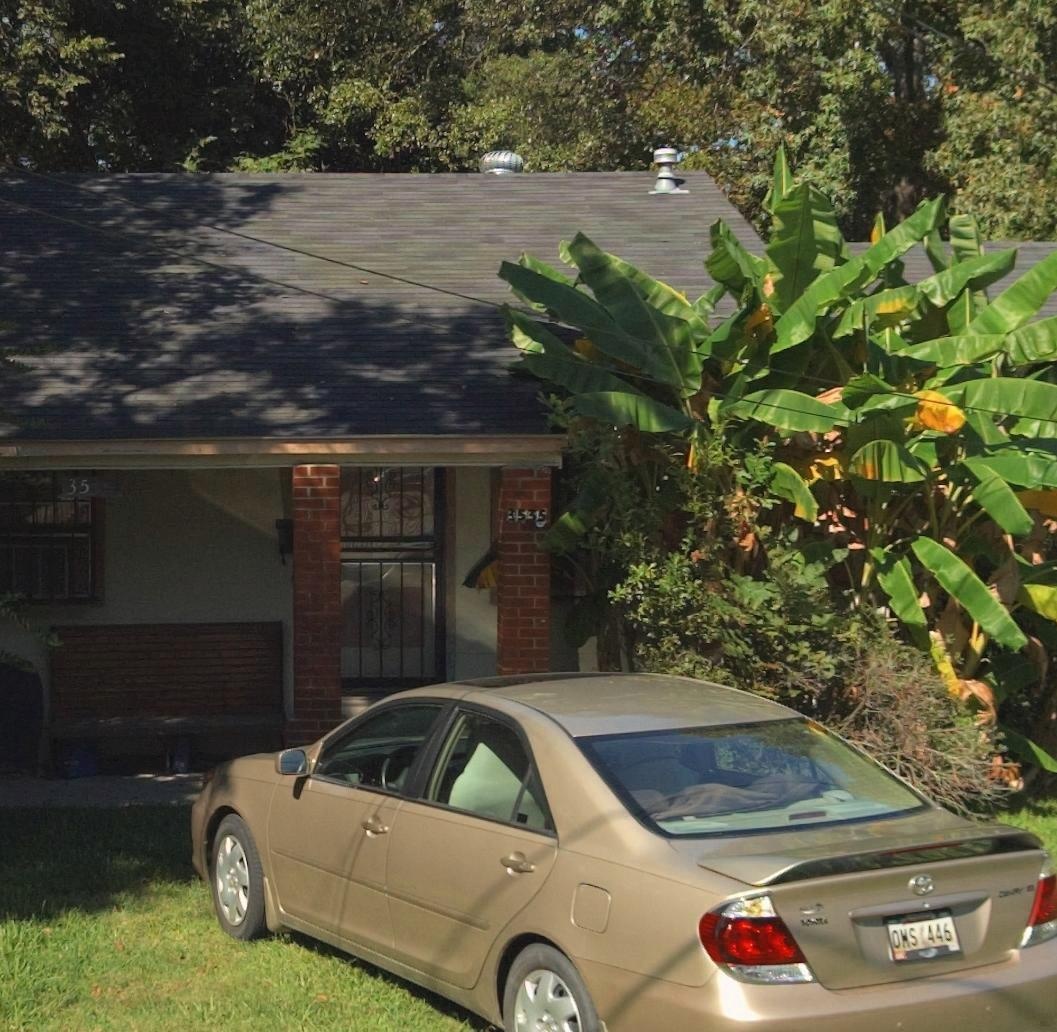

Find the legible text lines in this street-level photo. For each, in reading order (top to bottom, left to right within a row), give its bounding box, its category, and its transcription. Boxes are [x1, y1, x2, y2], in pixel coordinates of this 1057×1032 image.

[506, 508, 547, 522] StreetNumber: 3535
[887, 920, 956, 951] None: OMS 446